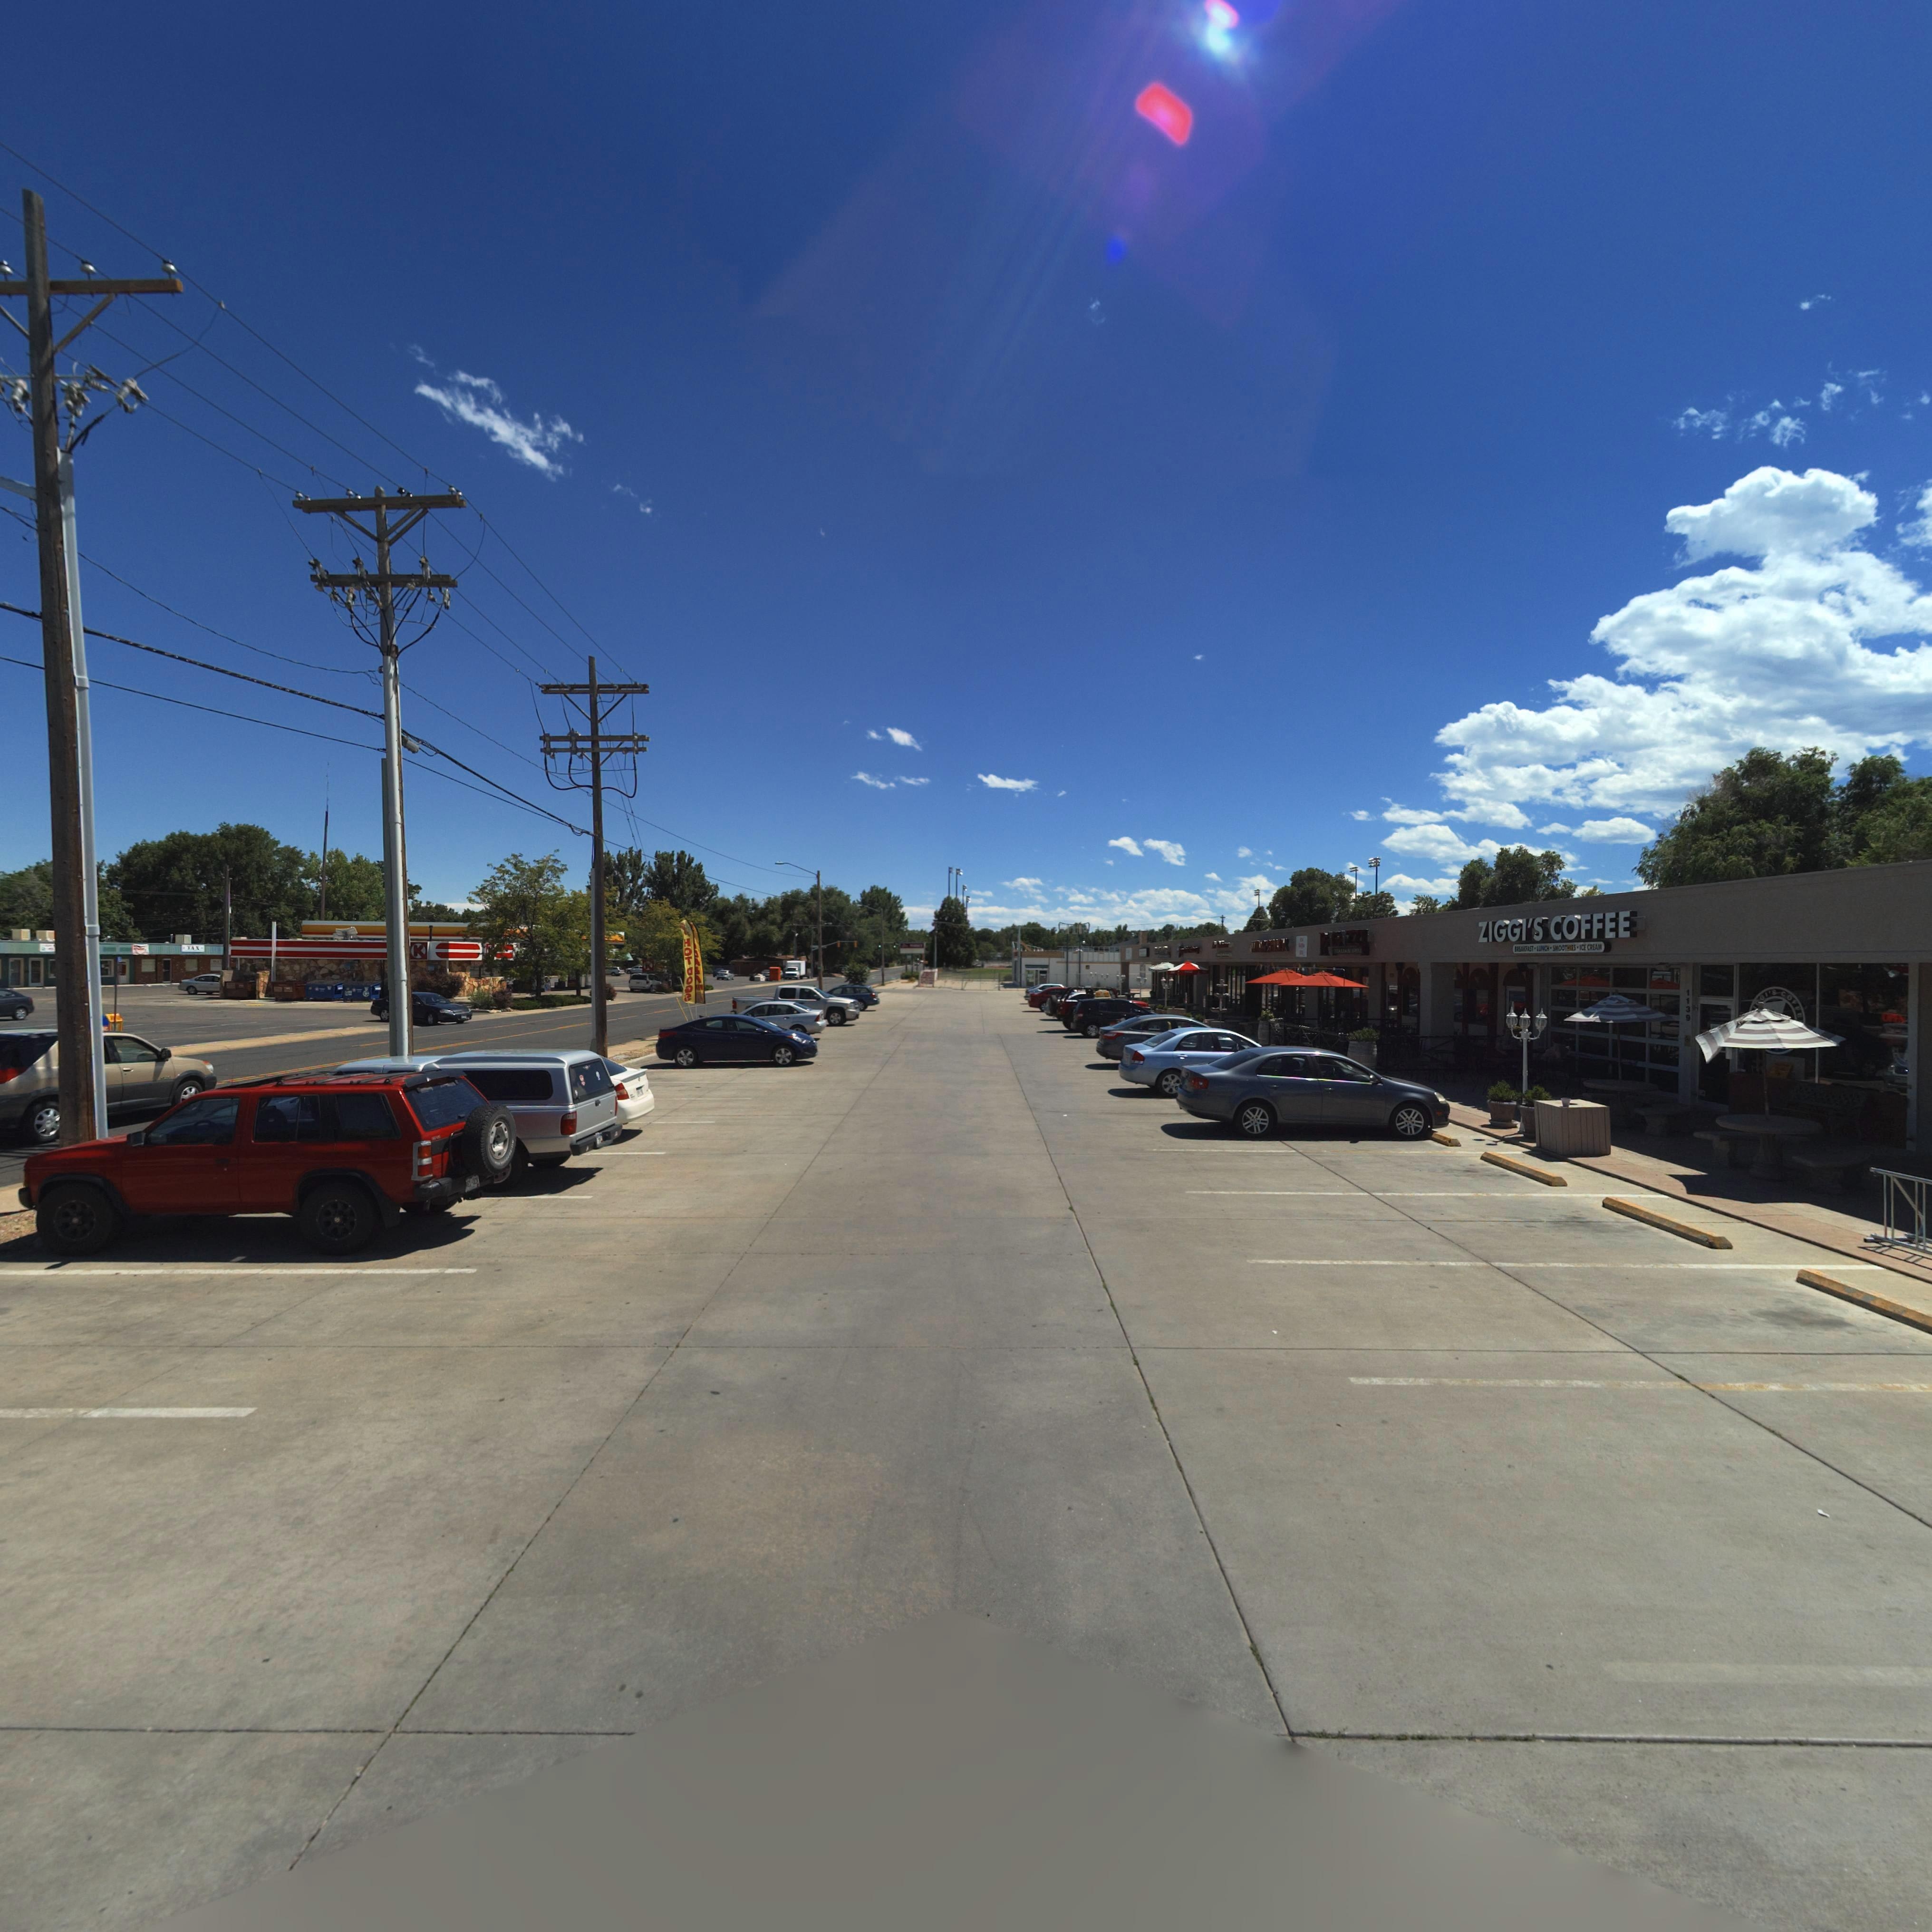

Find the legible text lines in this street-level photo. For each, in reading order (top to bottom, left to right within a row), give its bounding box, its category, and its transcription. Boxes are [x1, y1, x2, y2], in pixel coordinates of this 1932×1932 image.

[1477, 910, 1631, 943] BusinessName: ZIGGI*S COFFEE
[187, 945, 200, 950] BusinessName: TAX
[1266, 937, 1289, 953] BusinessName: SHACK
[1318, 928, 1369, 956] BusinessName: R***ZZI
[1333, 947, 1362, 954] BusinessName: **ALIAN GRILL
[1685, 989, 1690, 1021] StreetNumber: 1139
[1752, 989, 1802, 1018] BusinessName: IFFI*S COFFE